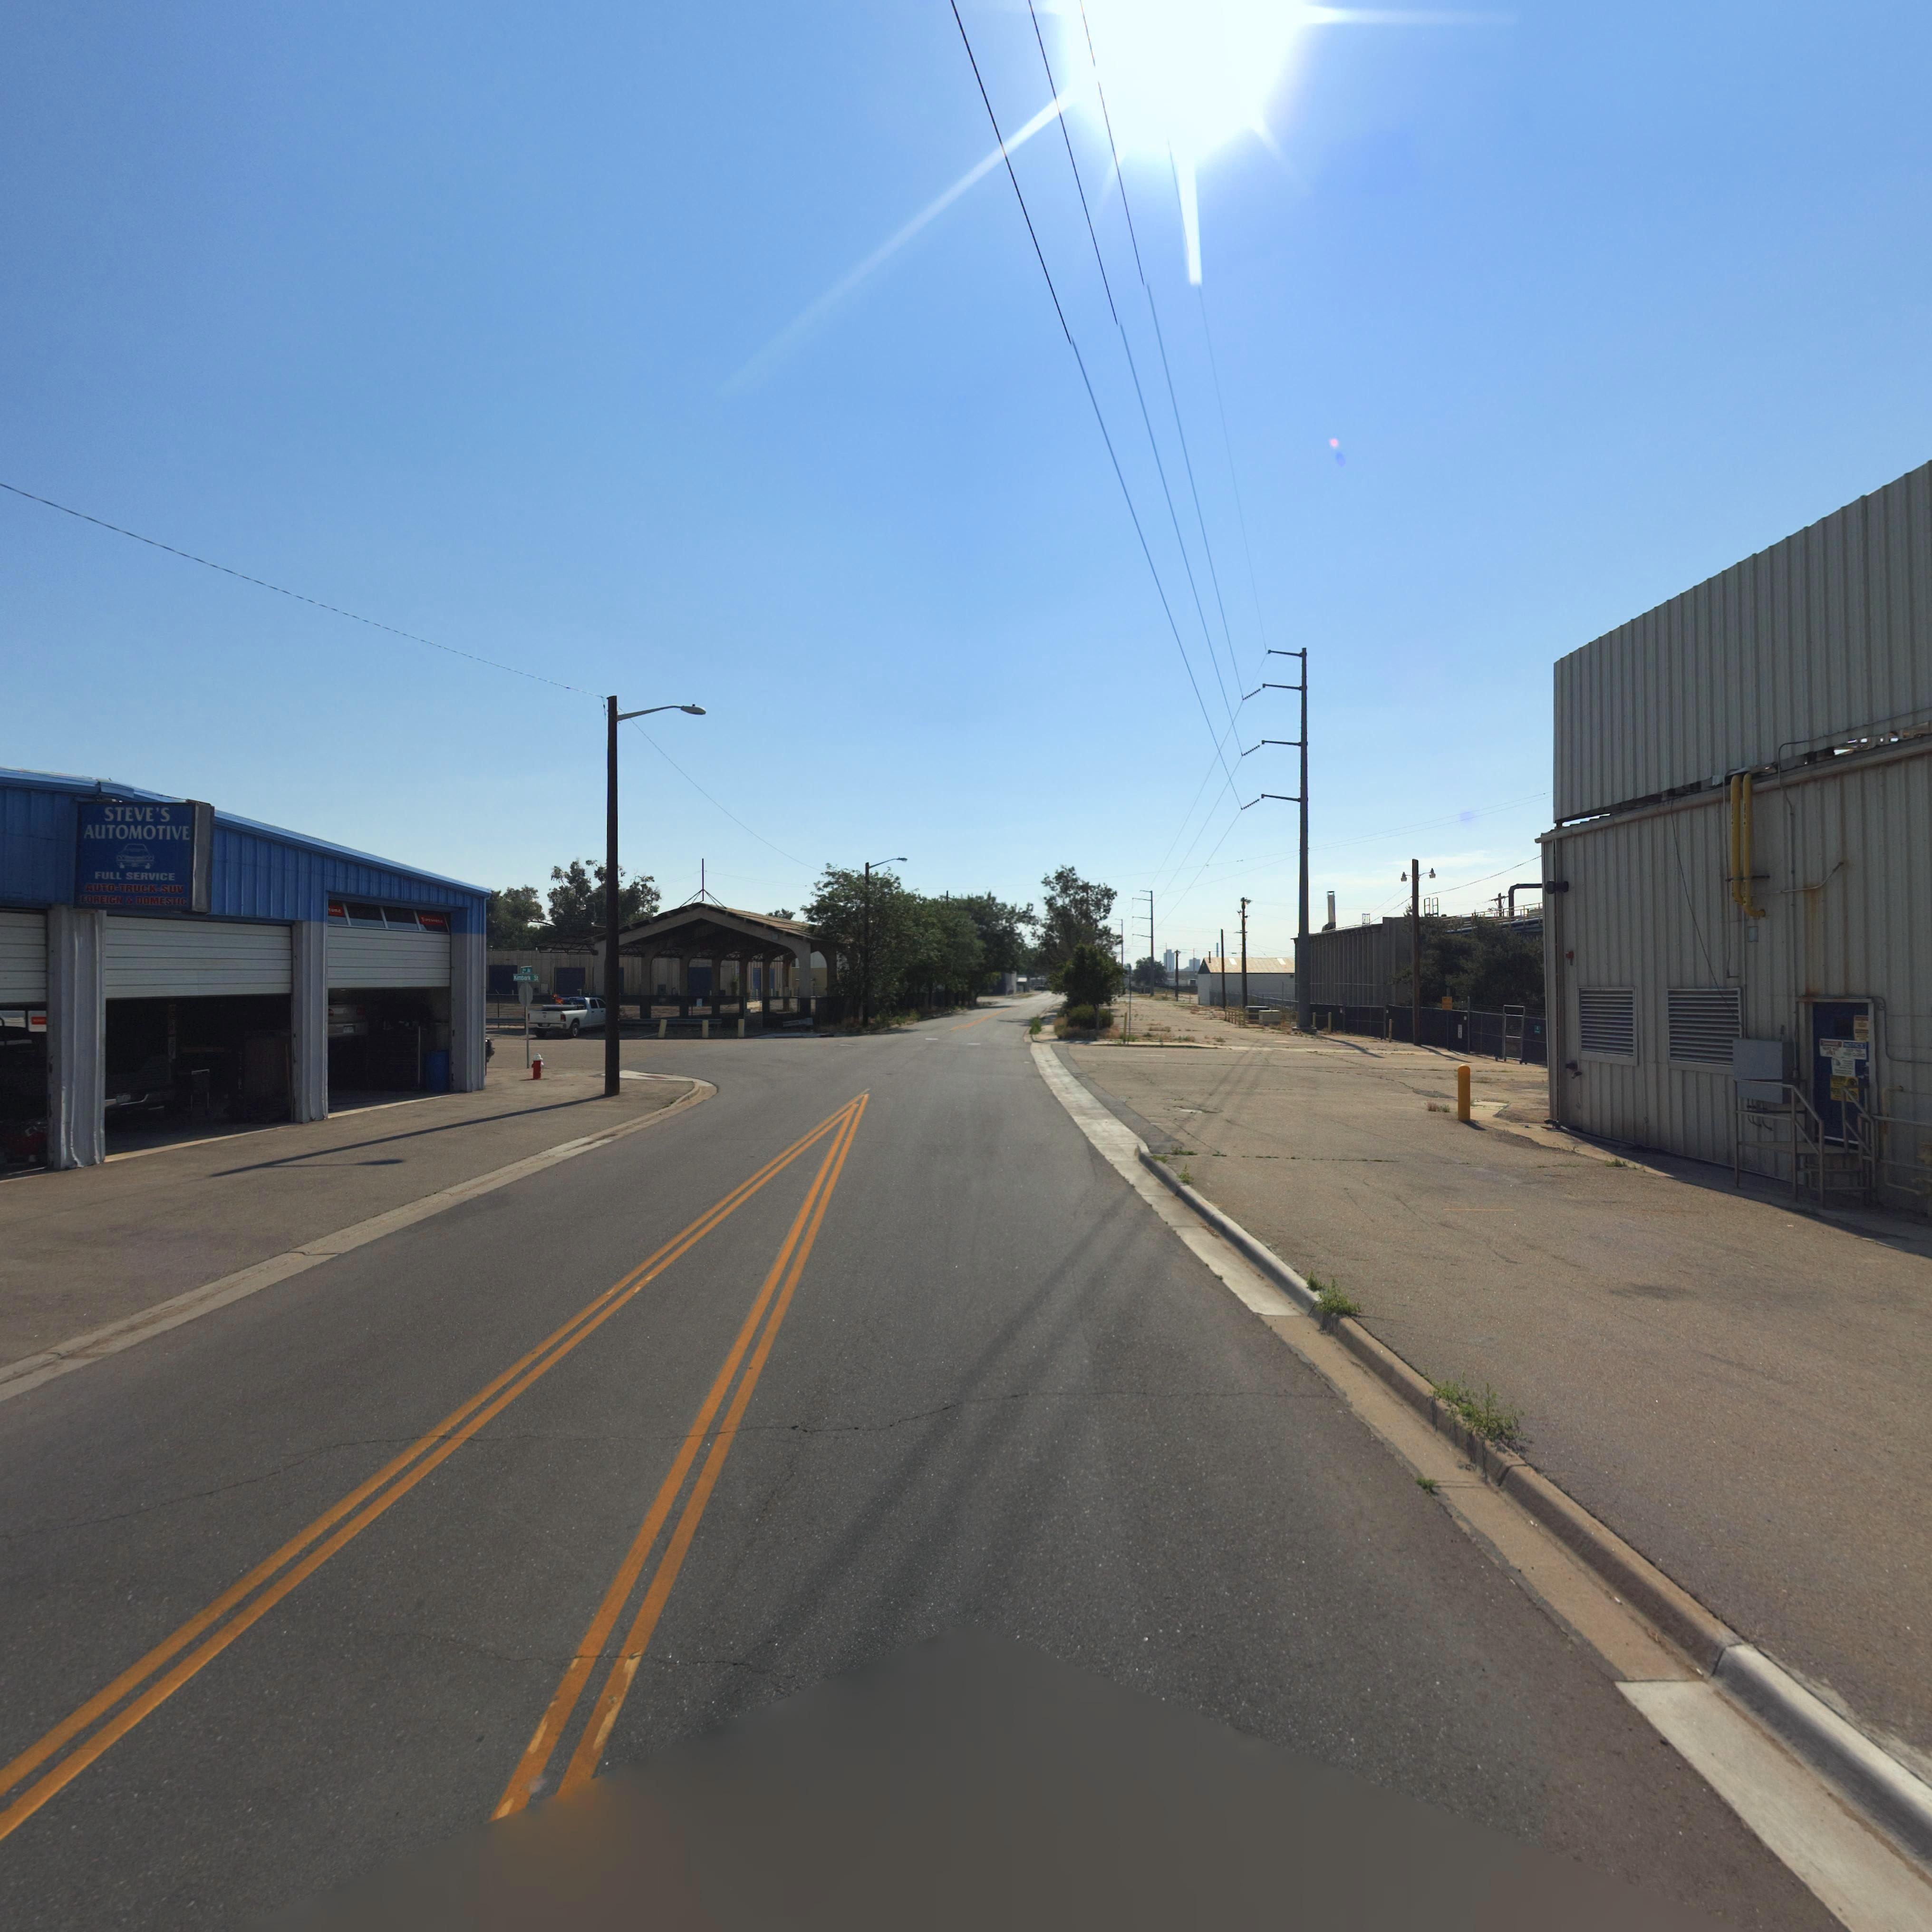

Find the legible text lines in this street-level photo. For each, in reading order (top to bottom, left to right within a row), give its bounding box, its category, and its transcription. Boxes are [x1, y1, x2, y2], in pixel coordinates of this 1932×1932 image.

[104, 806, 170, 822] BusinessName: STEVE'S
[83, 824, 190, 840] BusinessName: AUTOMOTIVE
[522, 967, 531, 974] StreetName: 2nd Av
[513, 975, 539, 981] StreetName: Kimbark St